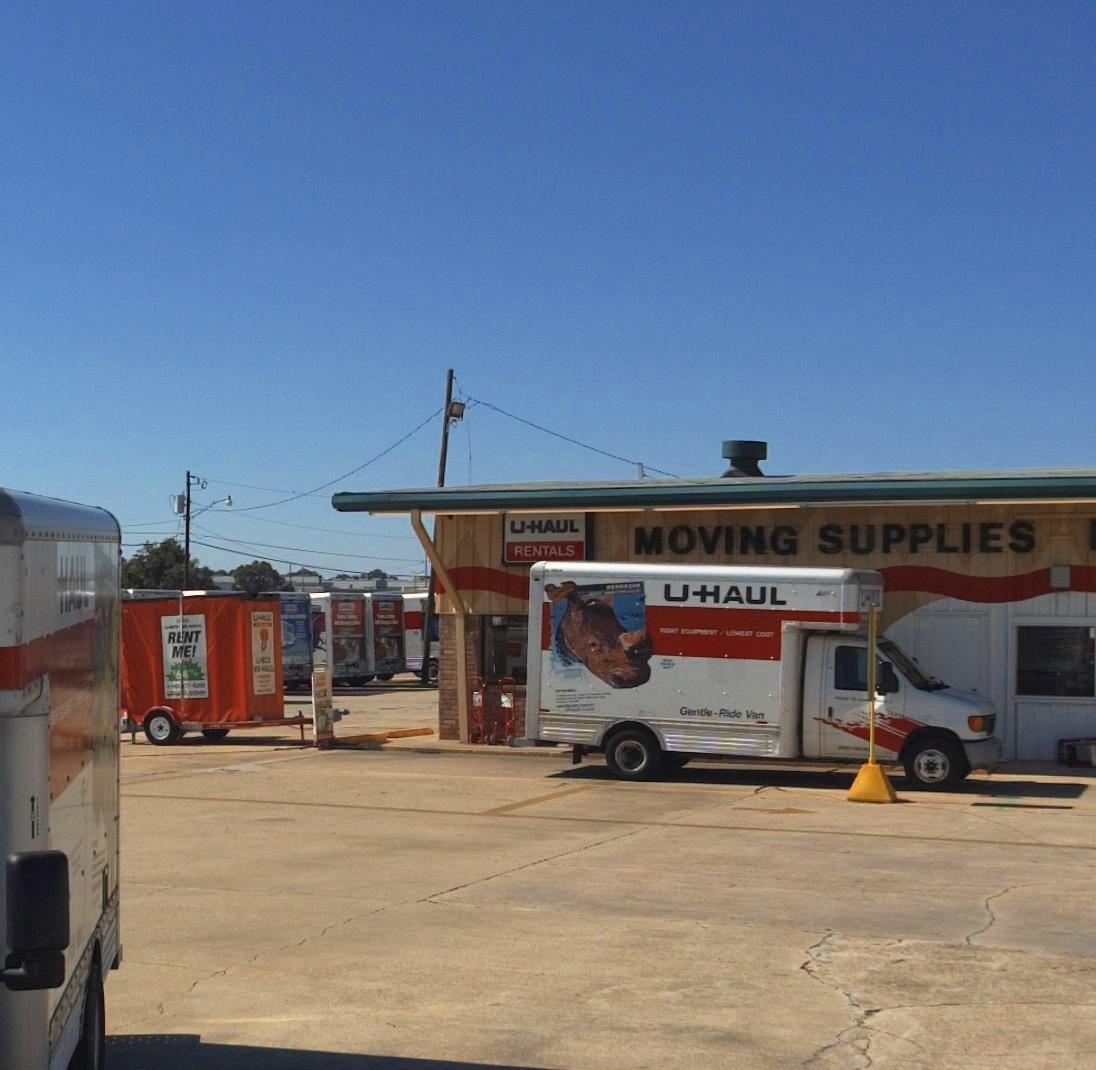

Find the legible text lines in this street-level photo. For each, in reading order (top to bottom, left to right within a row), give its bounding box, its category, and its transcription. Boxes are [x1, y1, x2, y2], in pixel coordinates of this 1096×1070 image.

[507, 517, 582, 536] BusinessName: U-HAUL
[629, 516, 1040, 560] None: MOVING SUPPLIES
[512, 542, 578, 560] None: RENTALS
[54, 552, 92, 618] BusinessName: HAUL
[660, 580, 790, 608] BusinessName: UHAUL
[163, 628, 204, 645] None: R*NT
[170, 644, 199, 659] None: ME!
[677, 703, 768, 722] None: Gentle - Ride Van